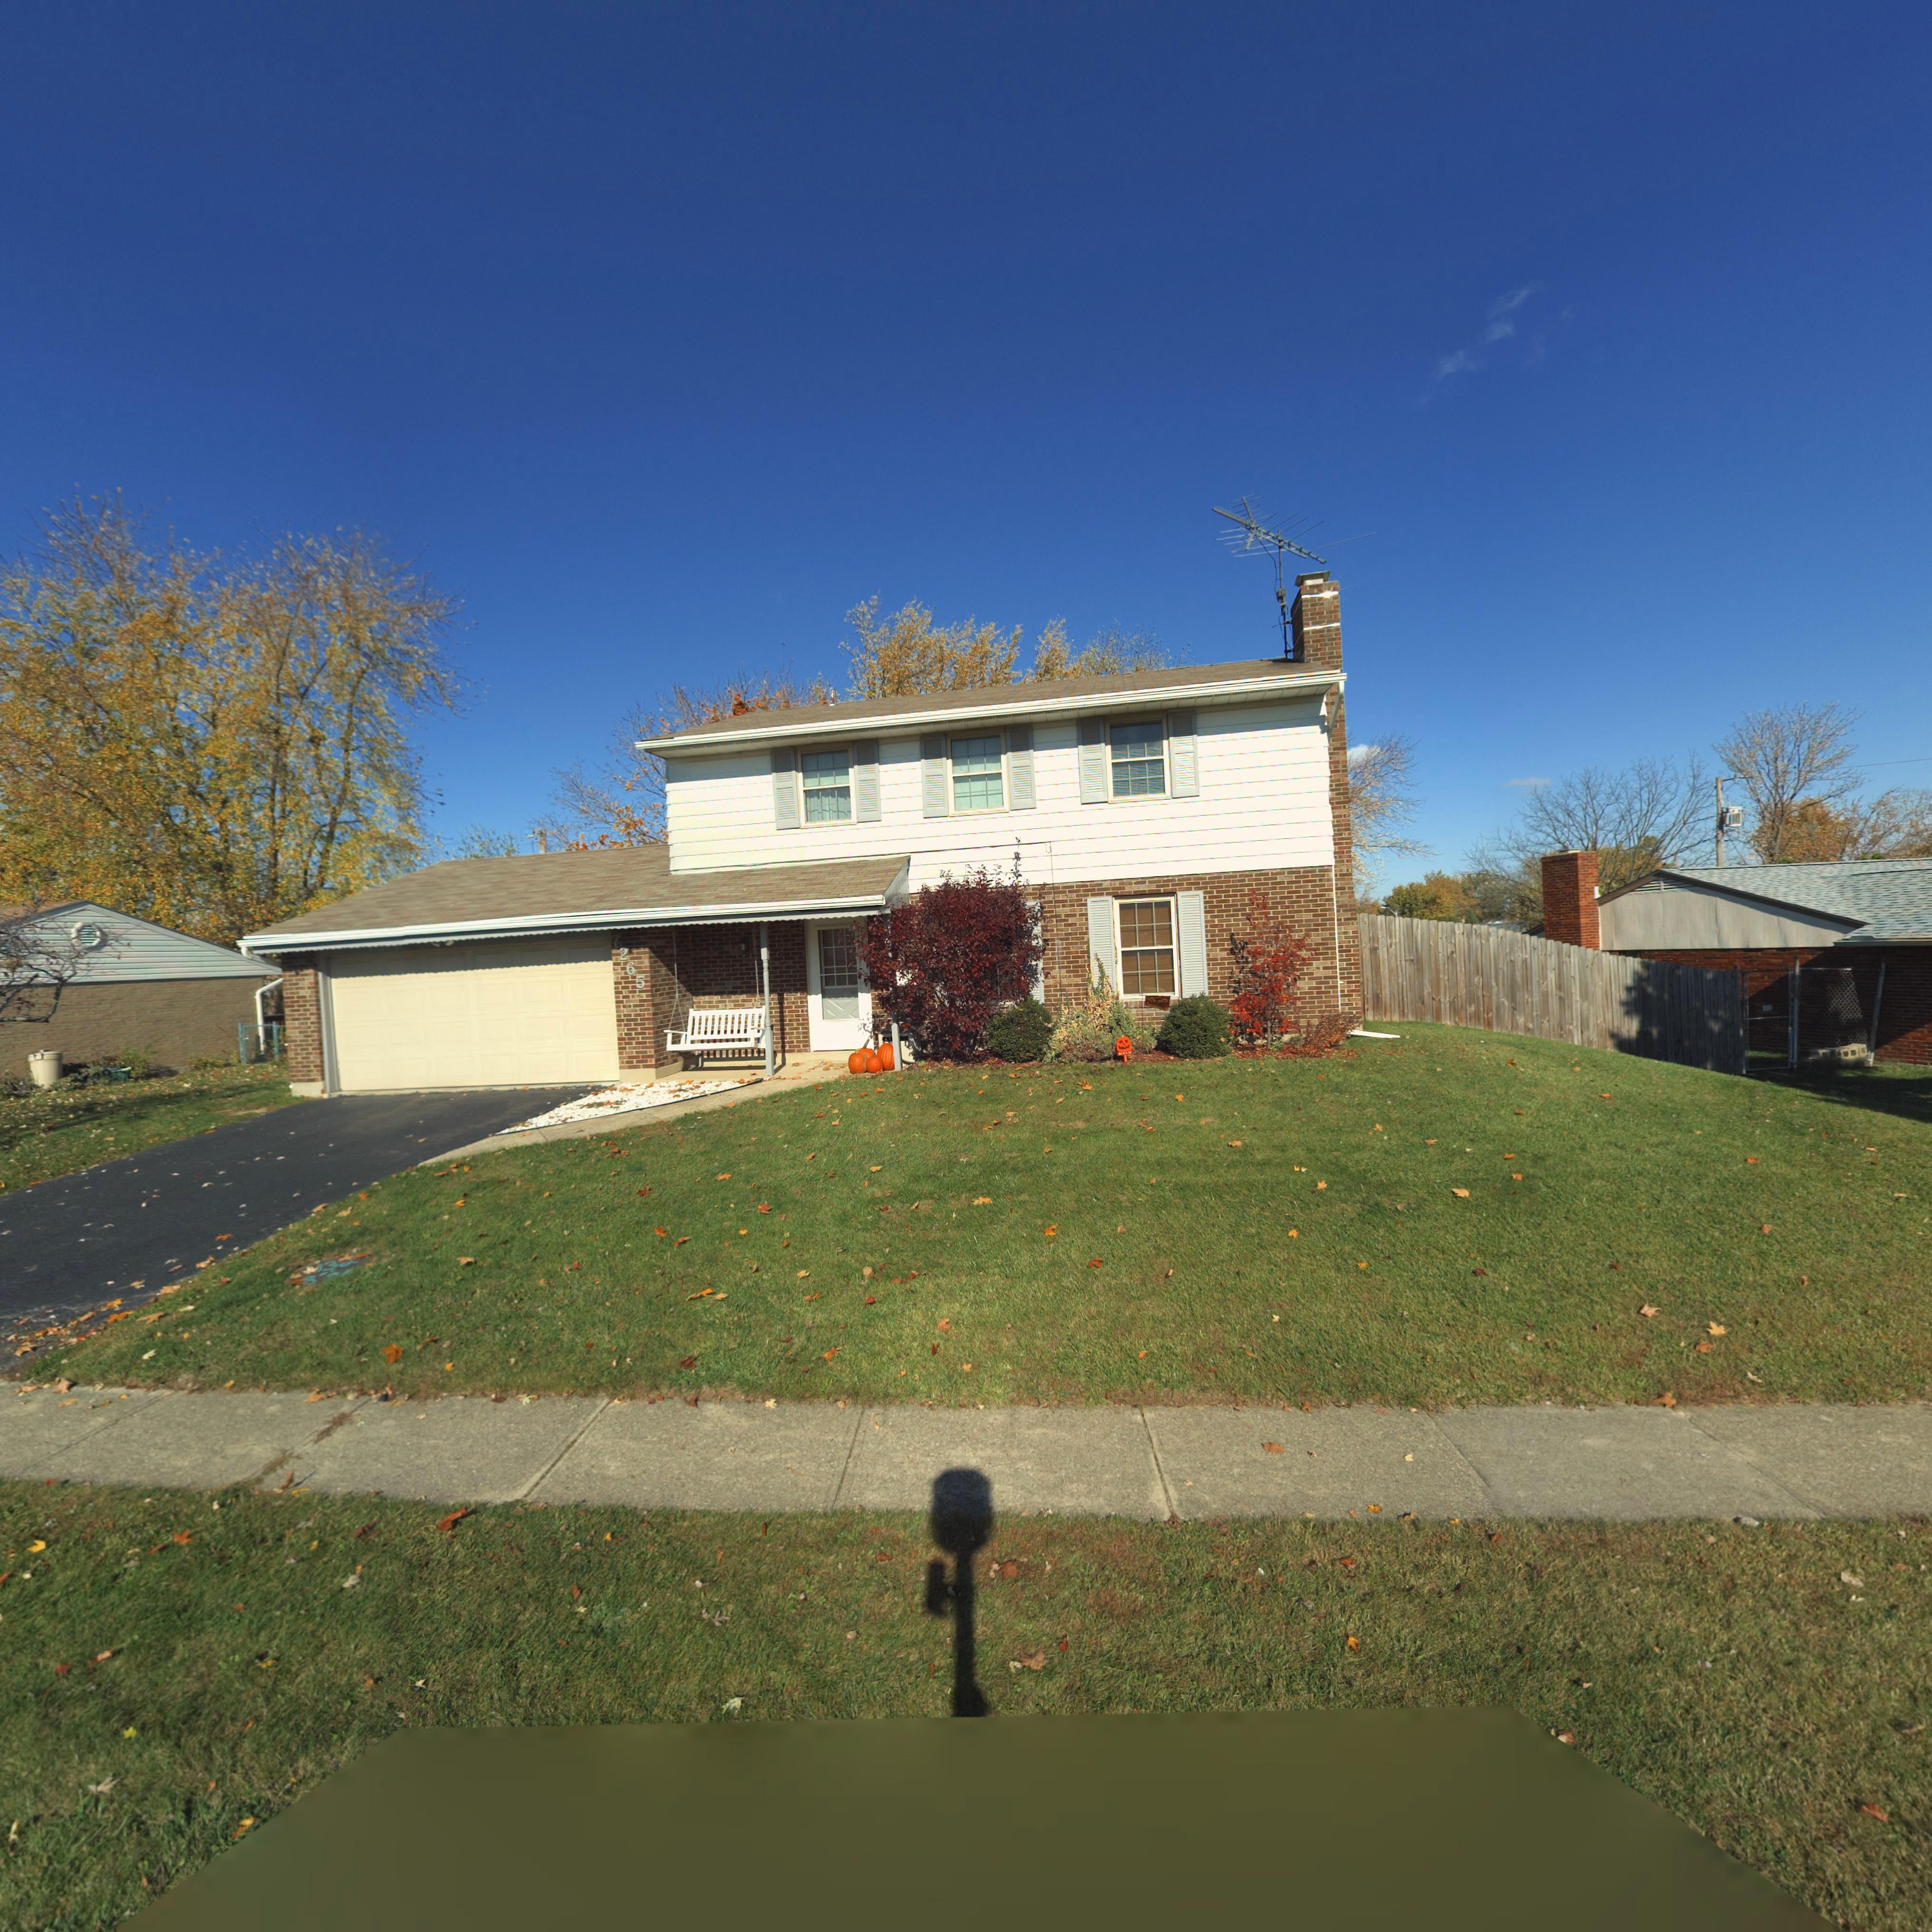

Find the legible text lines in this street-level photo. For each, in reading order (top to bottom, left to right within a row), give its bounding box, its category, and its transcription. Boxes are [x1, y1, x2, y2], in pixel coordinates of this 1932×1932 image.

[610, 934, 647, 991] StreetNumber: 7265